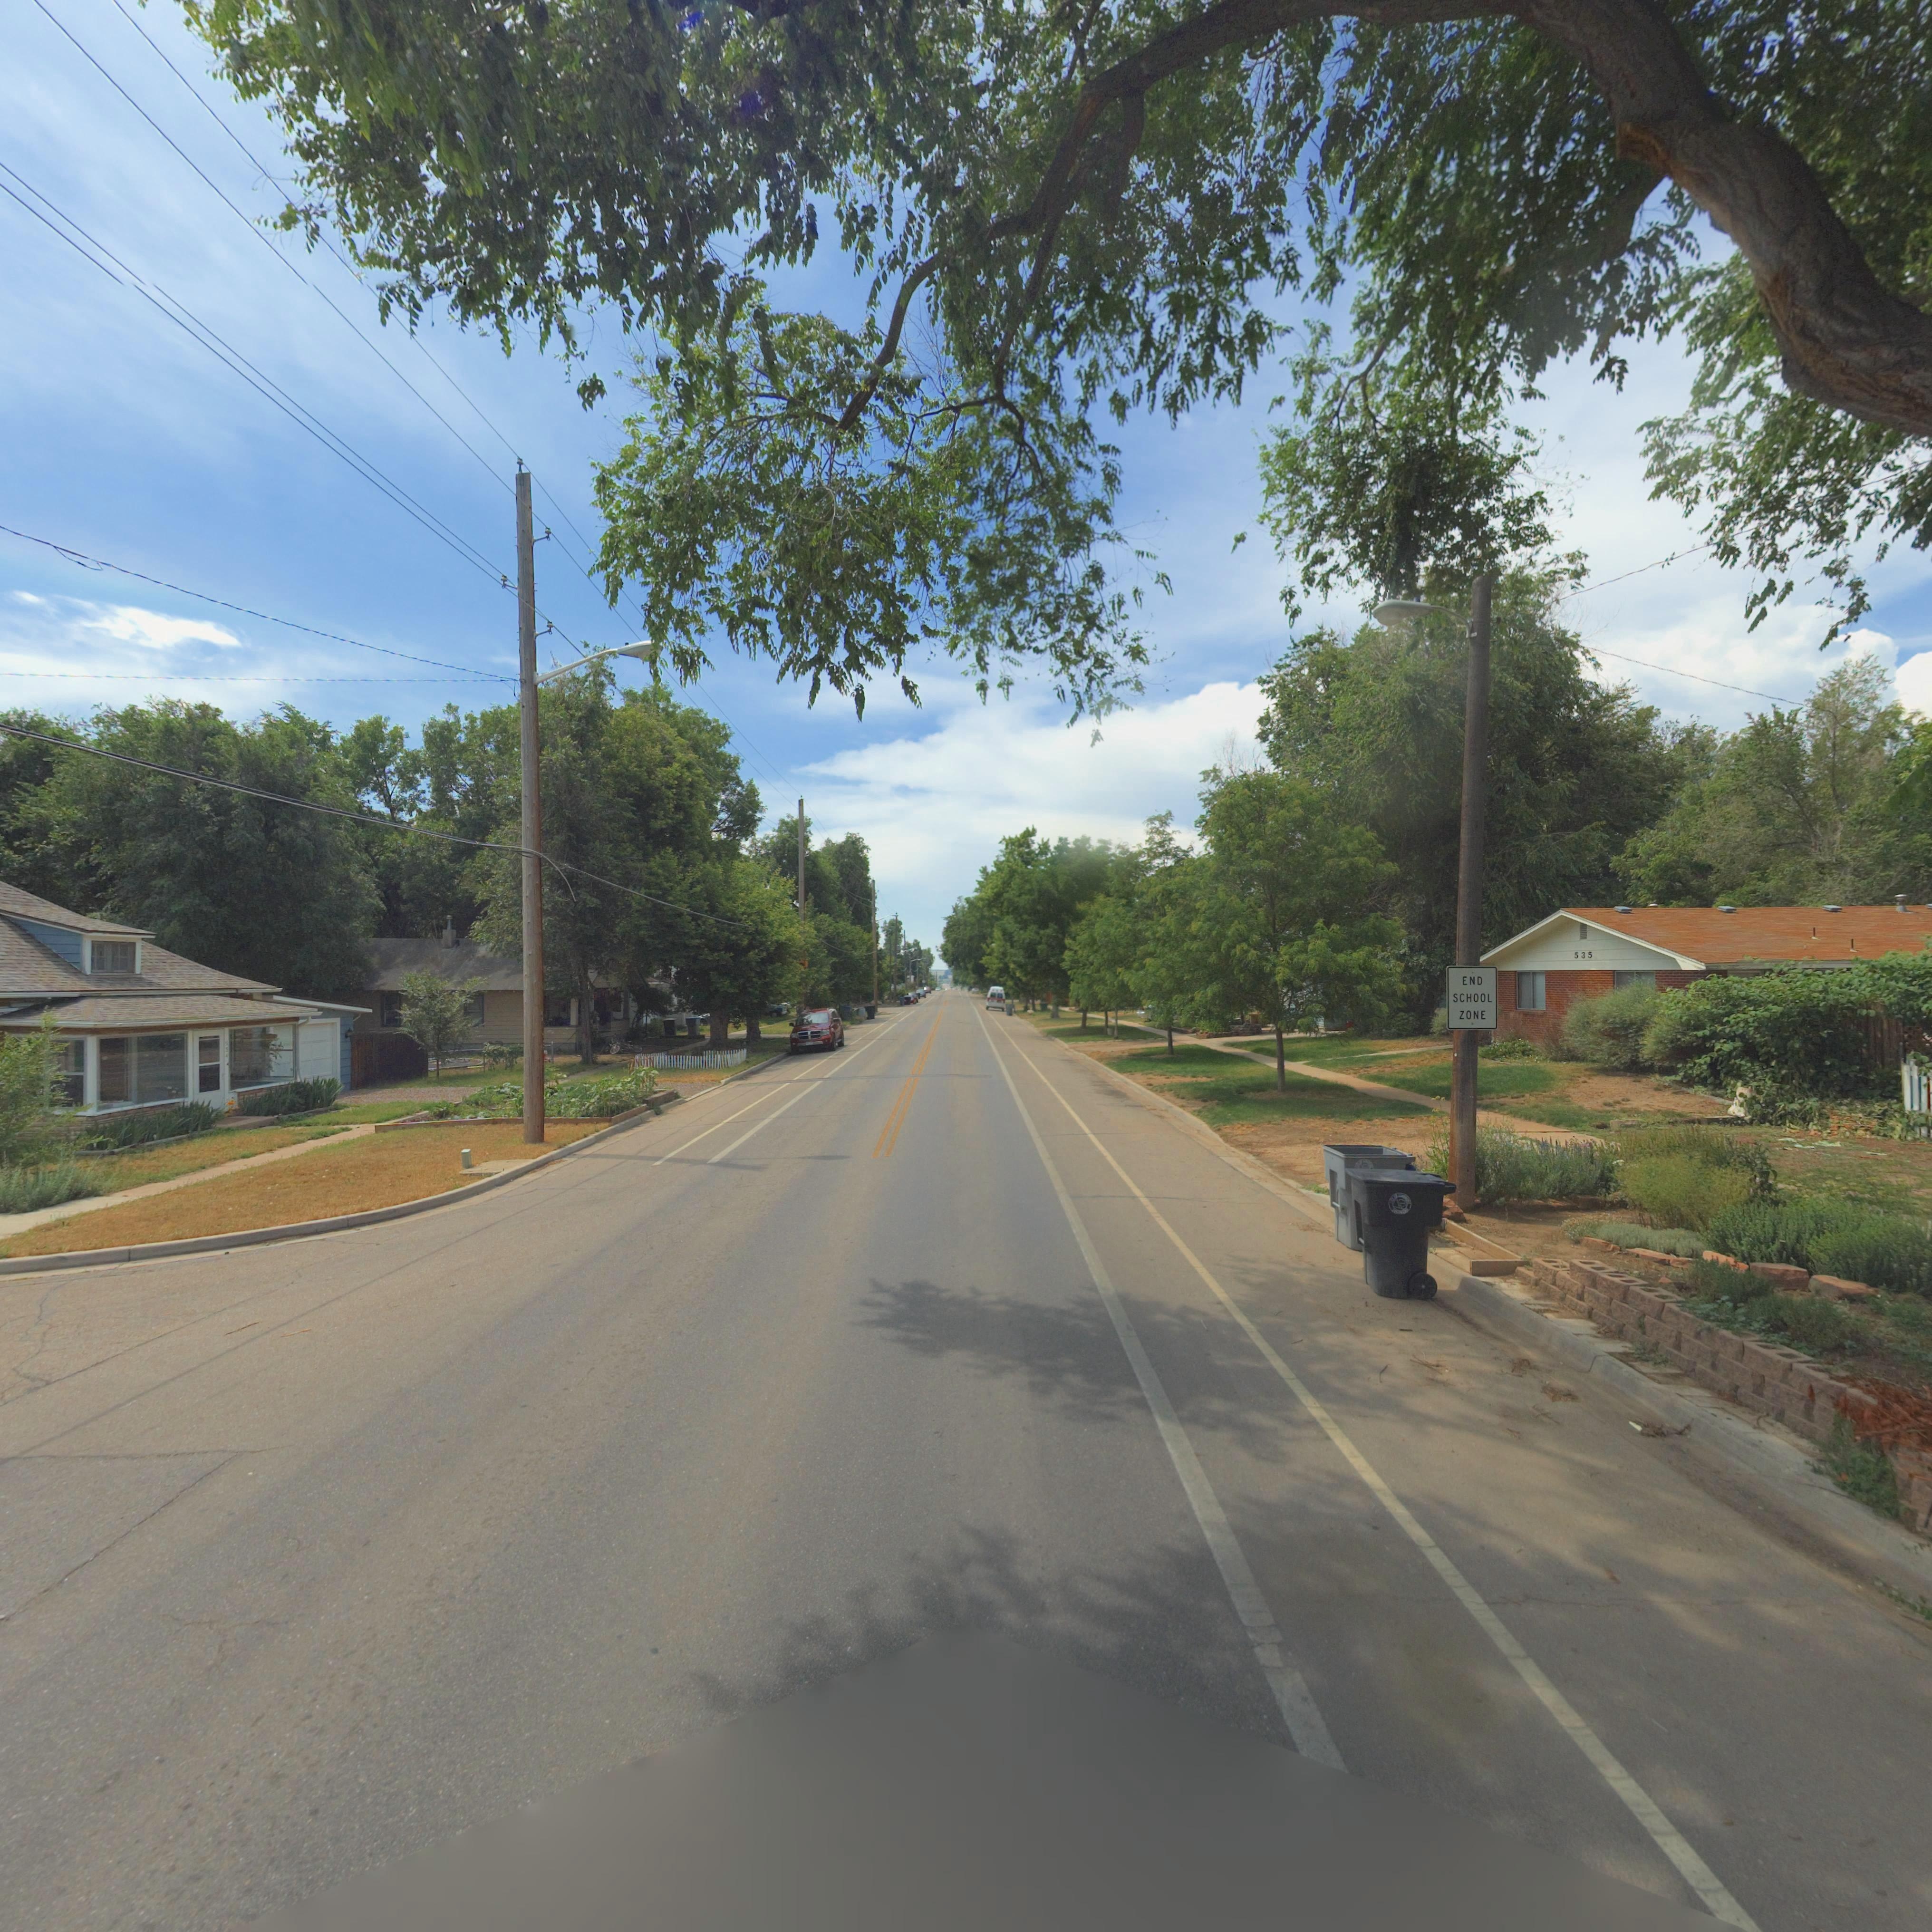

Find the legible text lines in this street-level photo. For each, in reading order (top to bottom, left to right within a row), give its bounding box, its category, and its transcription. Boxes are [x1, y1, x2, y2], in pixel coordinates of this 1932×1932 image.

[1574, 951, 1592, 958] StreetNumber: 535
[225, 1041, 228, 1058] StreetNumber: 534